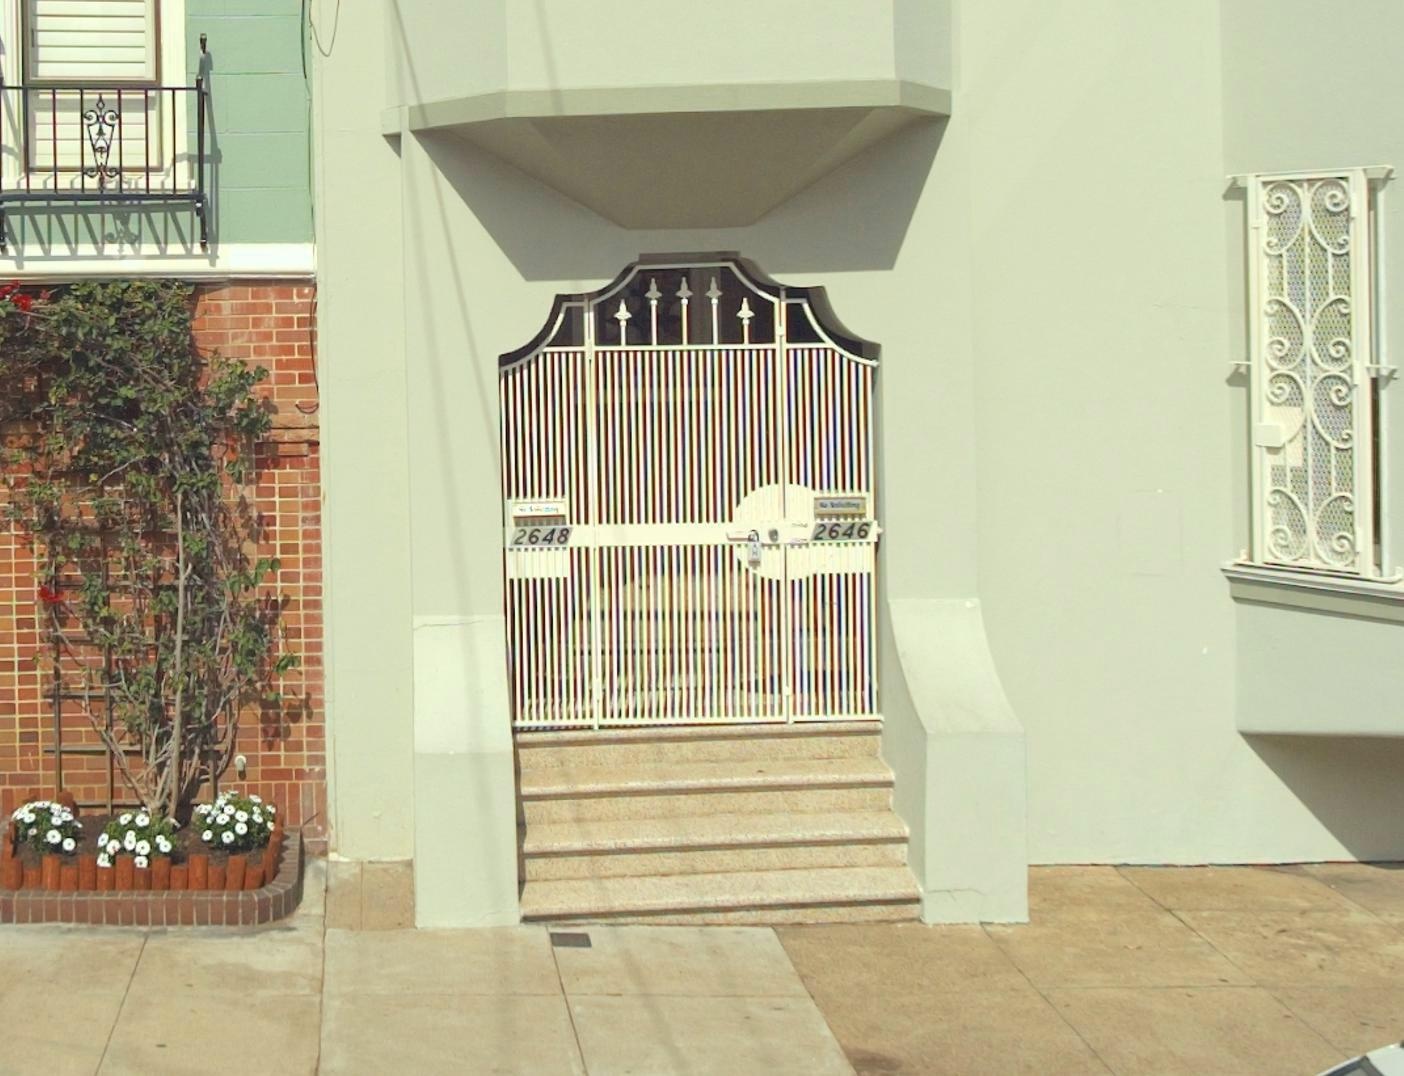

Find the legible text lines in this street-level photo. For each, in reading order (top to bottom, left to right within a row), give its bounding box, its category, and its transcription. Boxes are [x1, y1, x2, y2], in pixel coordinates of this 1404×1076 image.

[510, 526, 572, 547] StreetNumber: 2648
[811, 520, 875, 543] StreetNumber: 2646